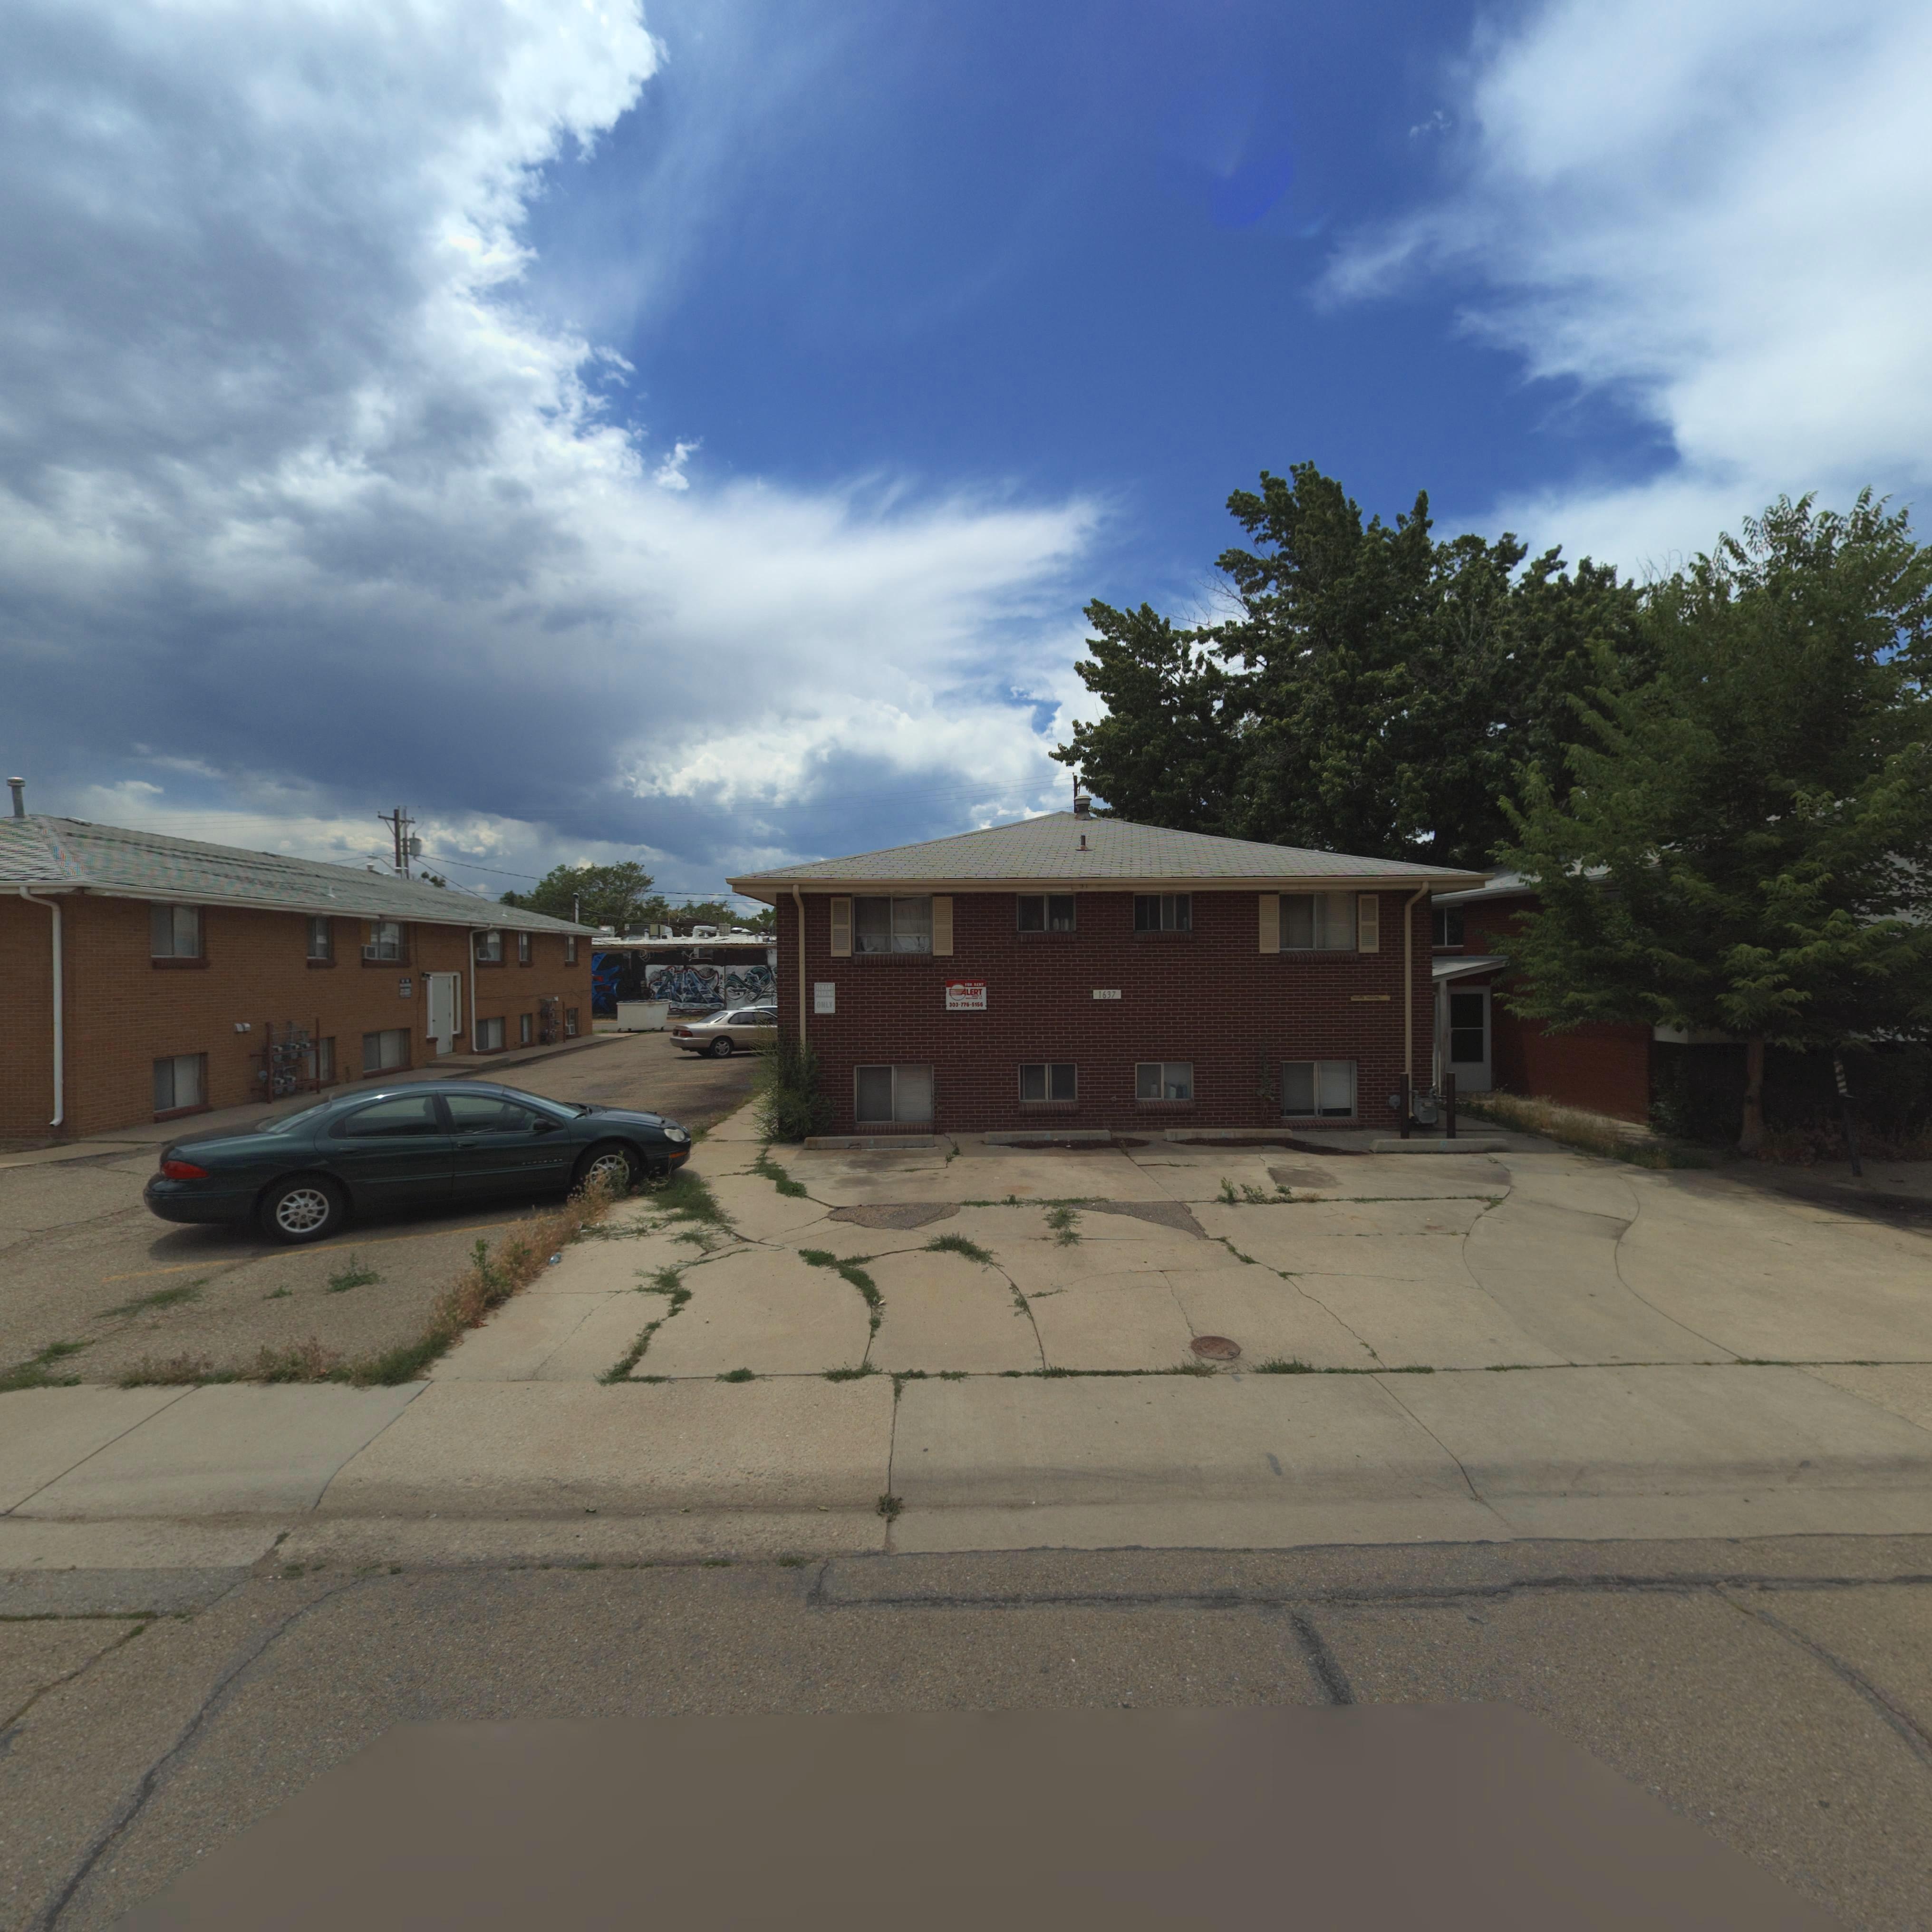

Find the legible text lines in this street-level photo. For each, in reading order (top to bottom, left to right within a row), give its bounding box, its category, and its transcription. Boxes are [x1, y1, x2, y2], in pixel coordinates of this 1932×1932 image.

[1098, 990, 1116, 998] StreetNumber: 1637